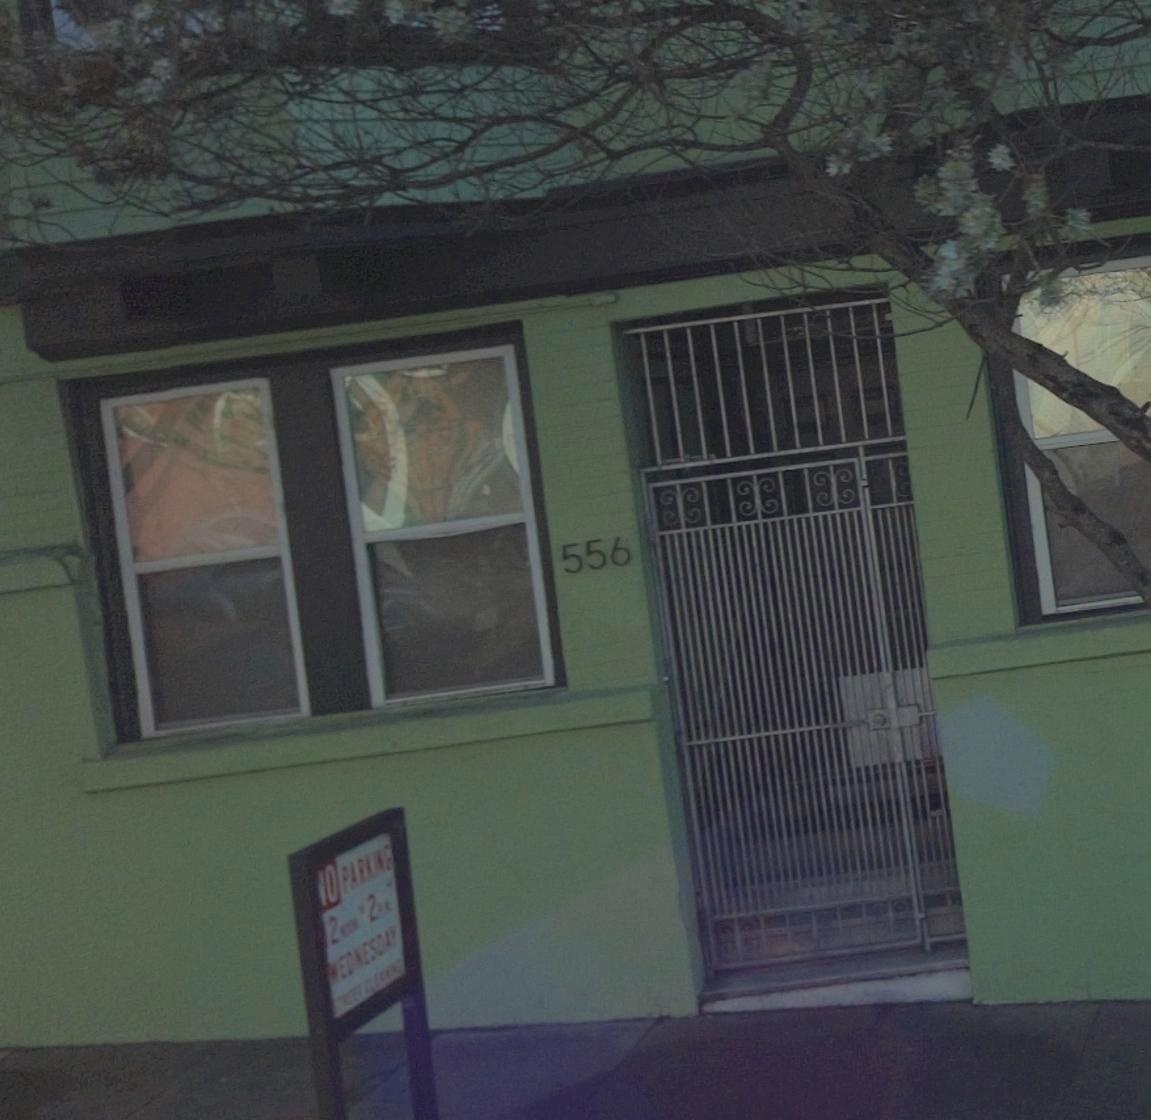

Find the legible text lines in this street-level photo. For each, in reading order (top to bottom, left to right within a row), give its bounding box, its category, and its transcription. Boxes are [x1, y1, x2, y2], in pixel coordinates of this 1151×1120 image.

[559, 533, 634, 578] StreetNumber: 556
[320, 854, 371, 906] None: O PAR
[324, 913, 343, 947] None: 2
[363, 891, 382, 926] None: 2
[323, 921, 401, 989] None: *ED*ESDAY